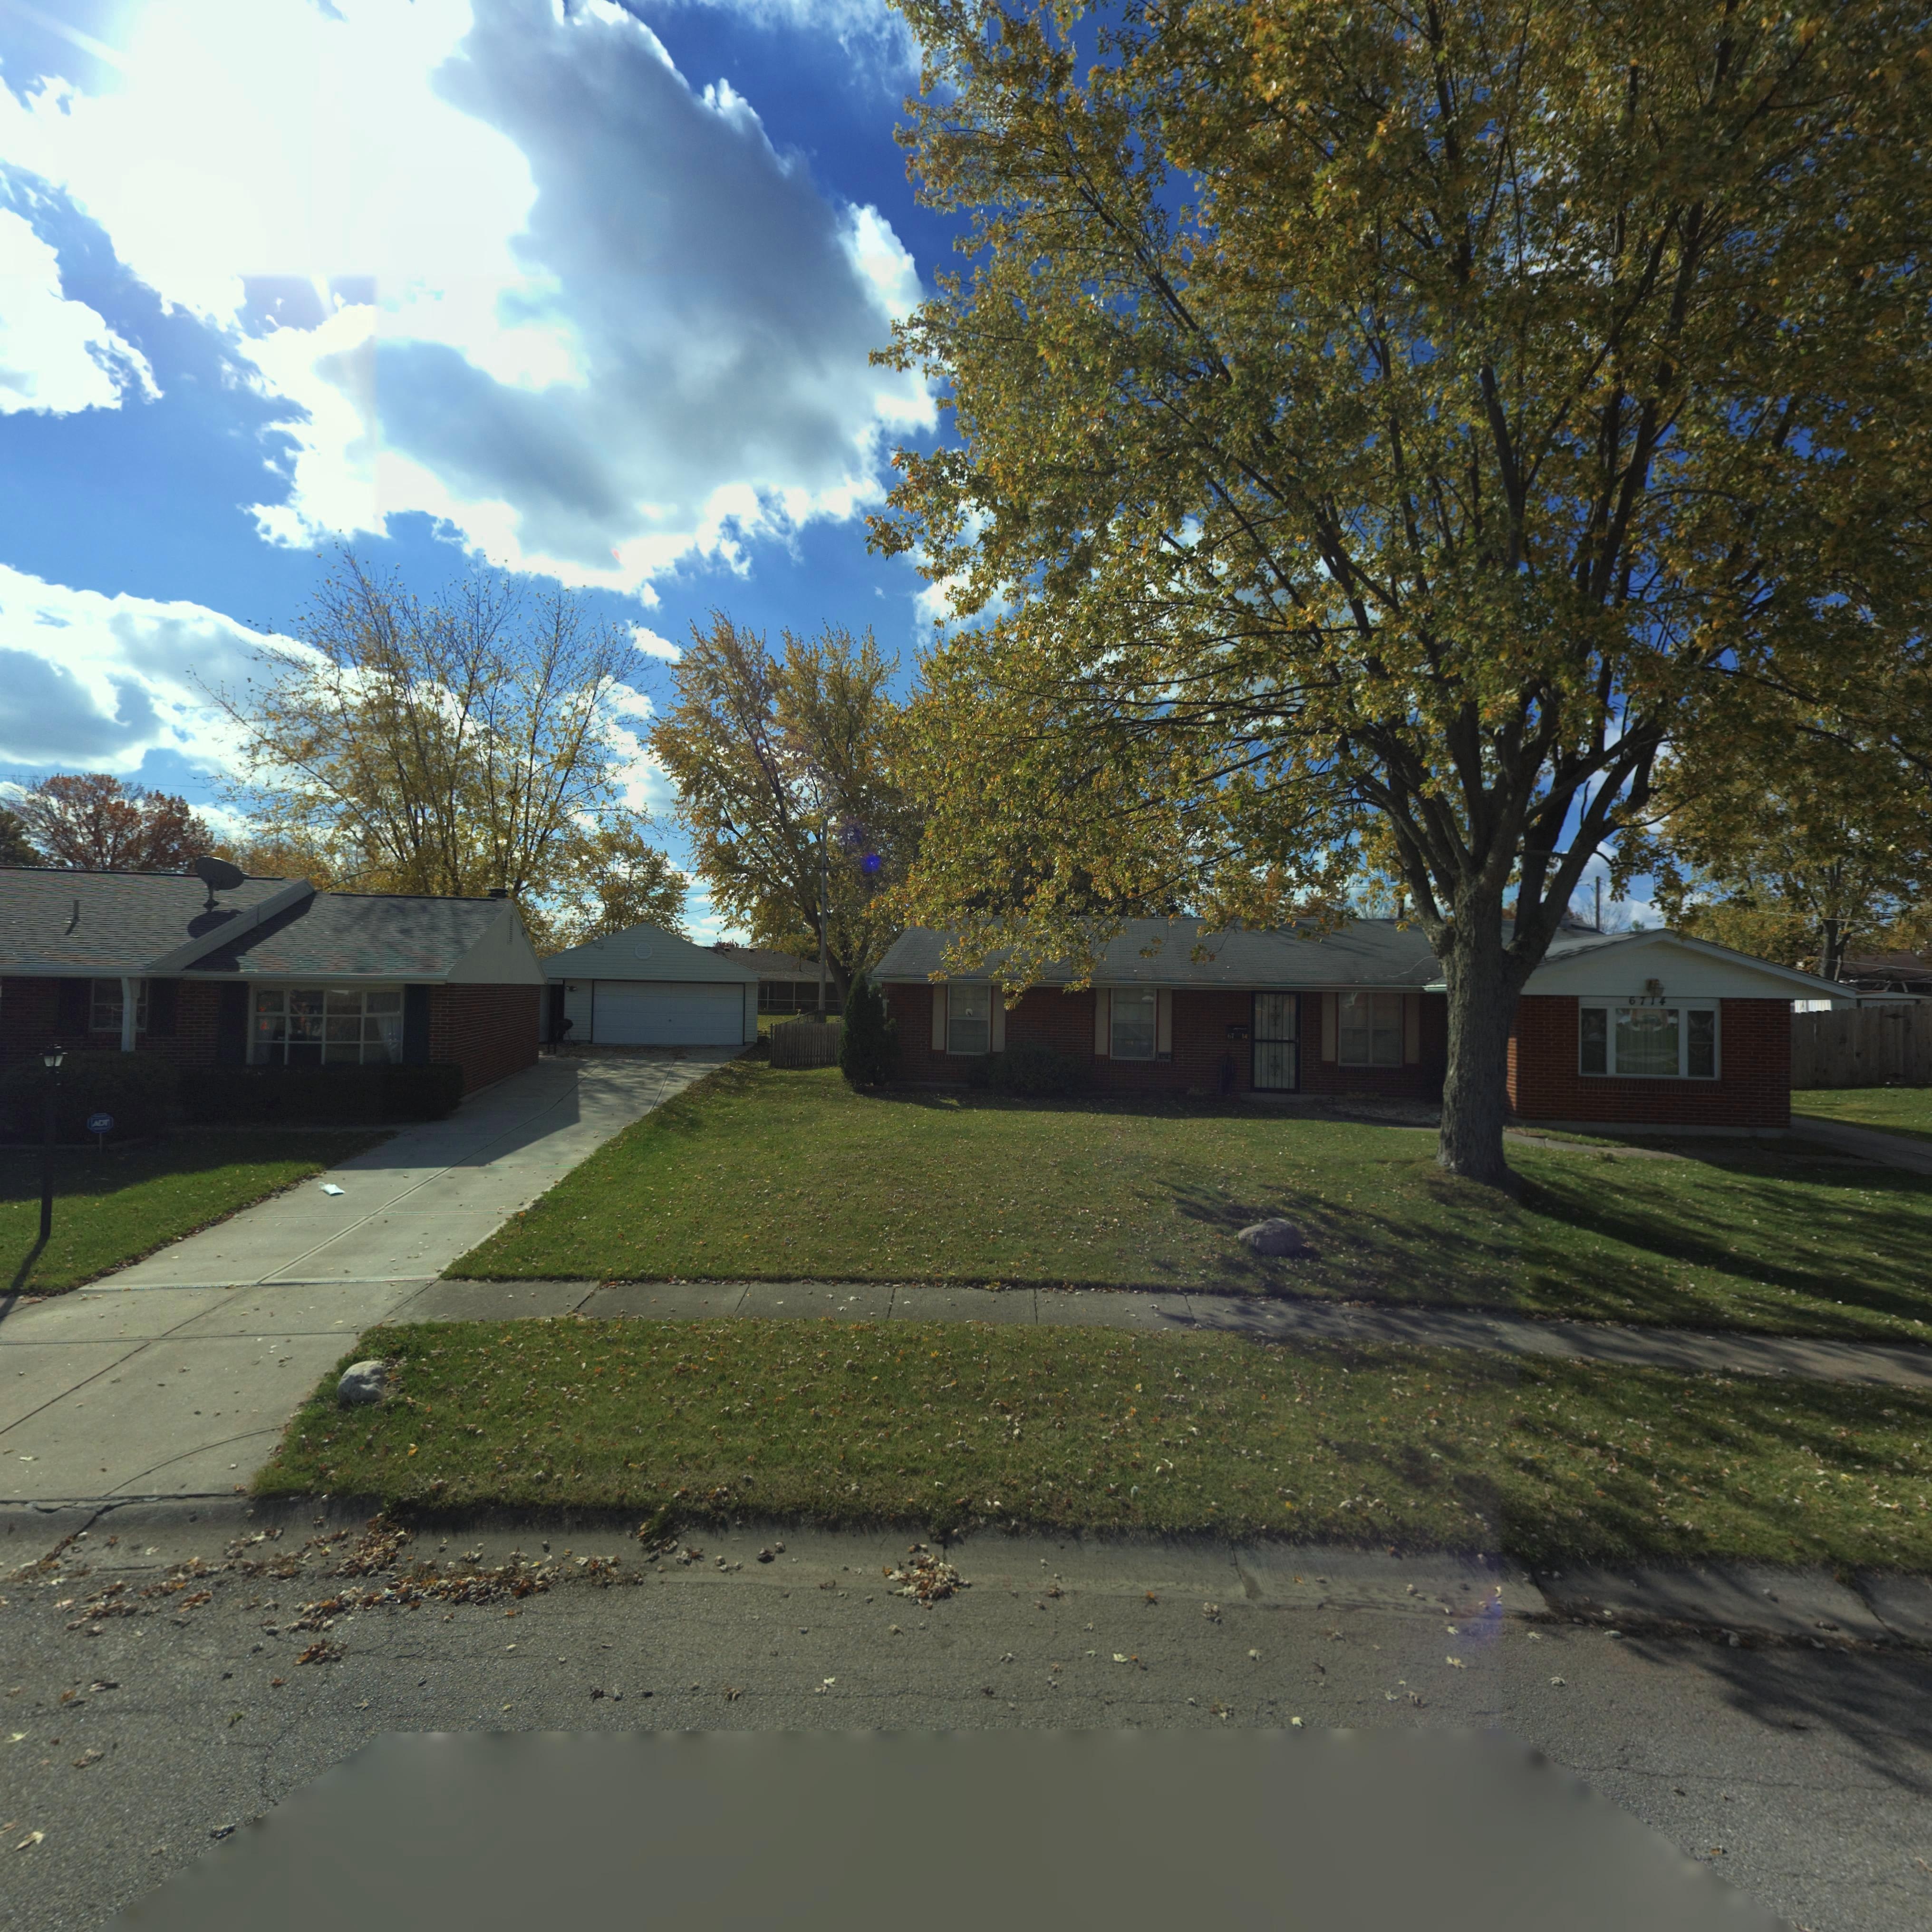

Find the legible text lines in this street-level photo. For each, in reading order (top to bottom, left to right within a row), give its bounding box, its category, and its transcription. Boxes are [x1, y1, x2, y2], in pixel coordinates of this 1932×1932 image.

[1628, 996, 1666, 1006] StreetNumber: 6714
[1227, 1033, 1248, 1040] StreetNumber: 67*14